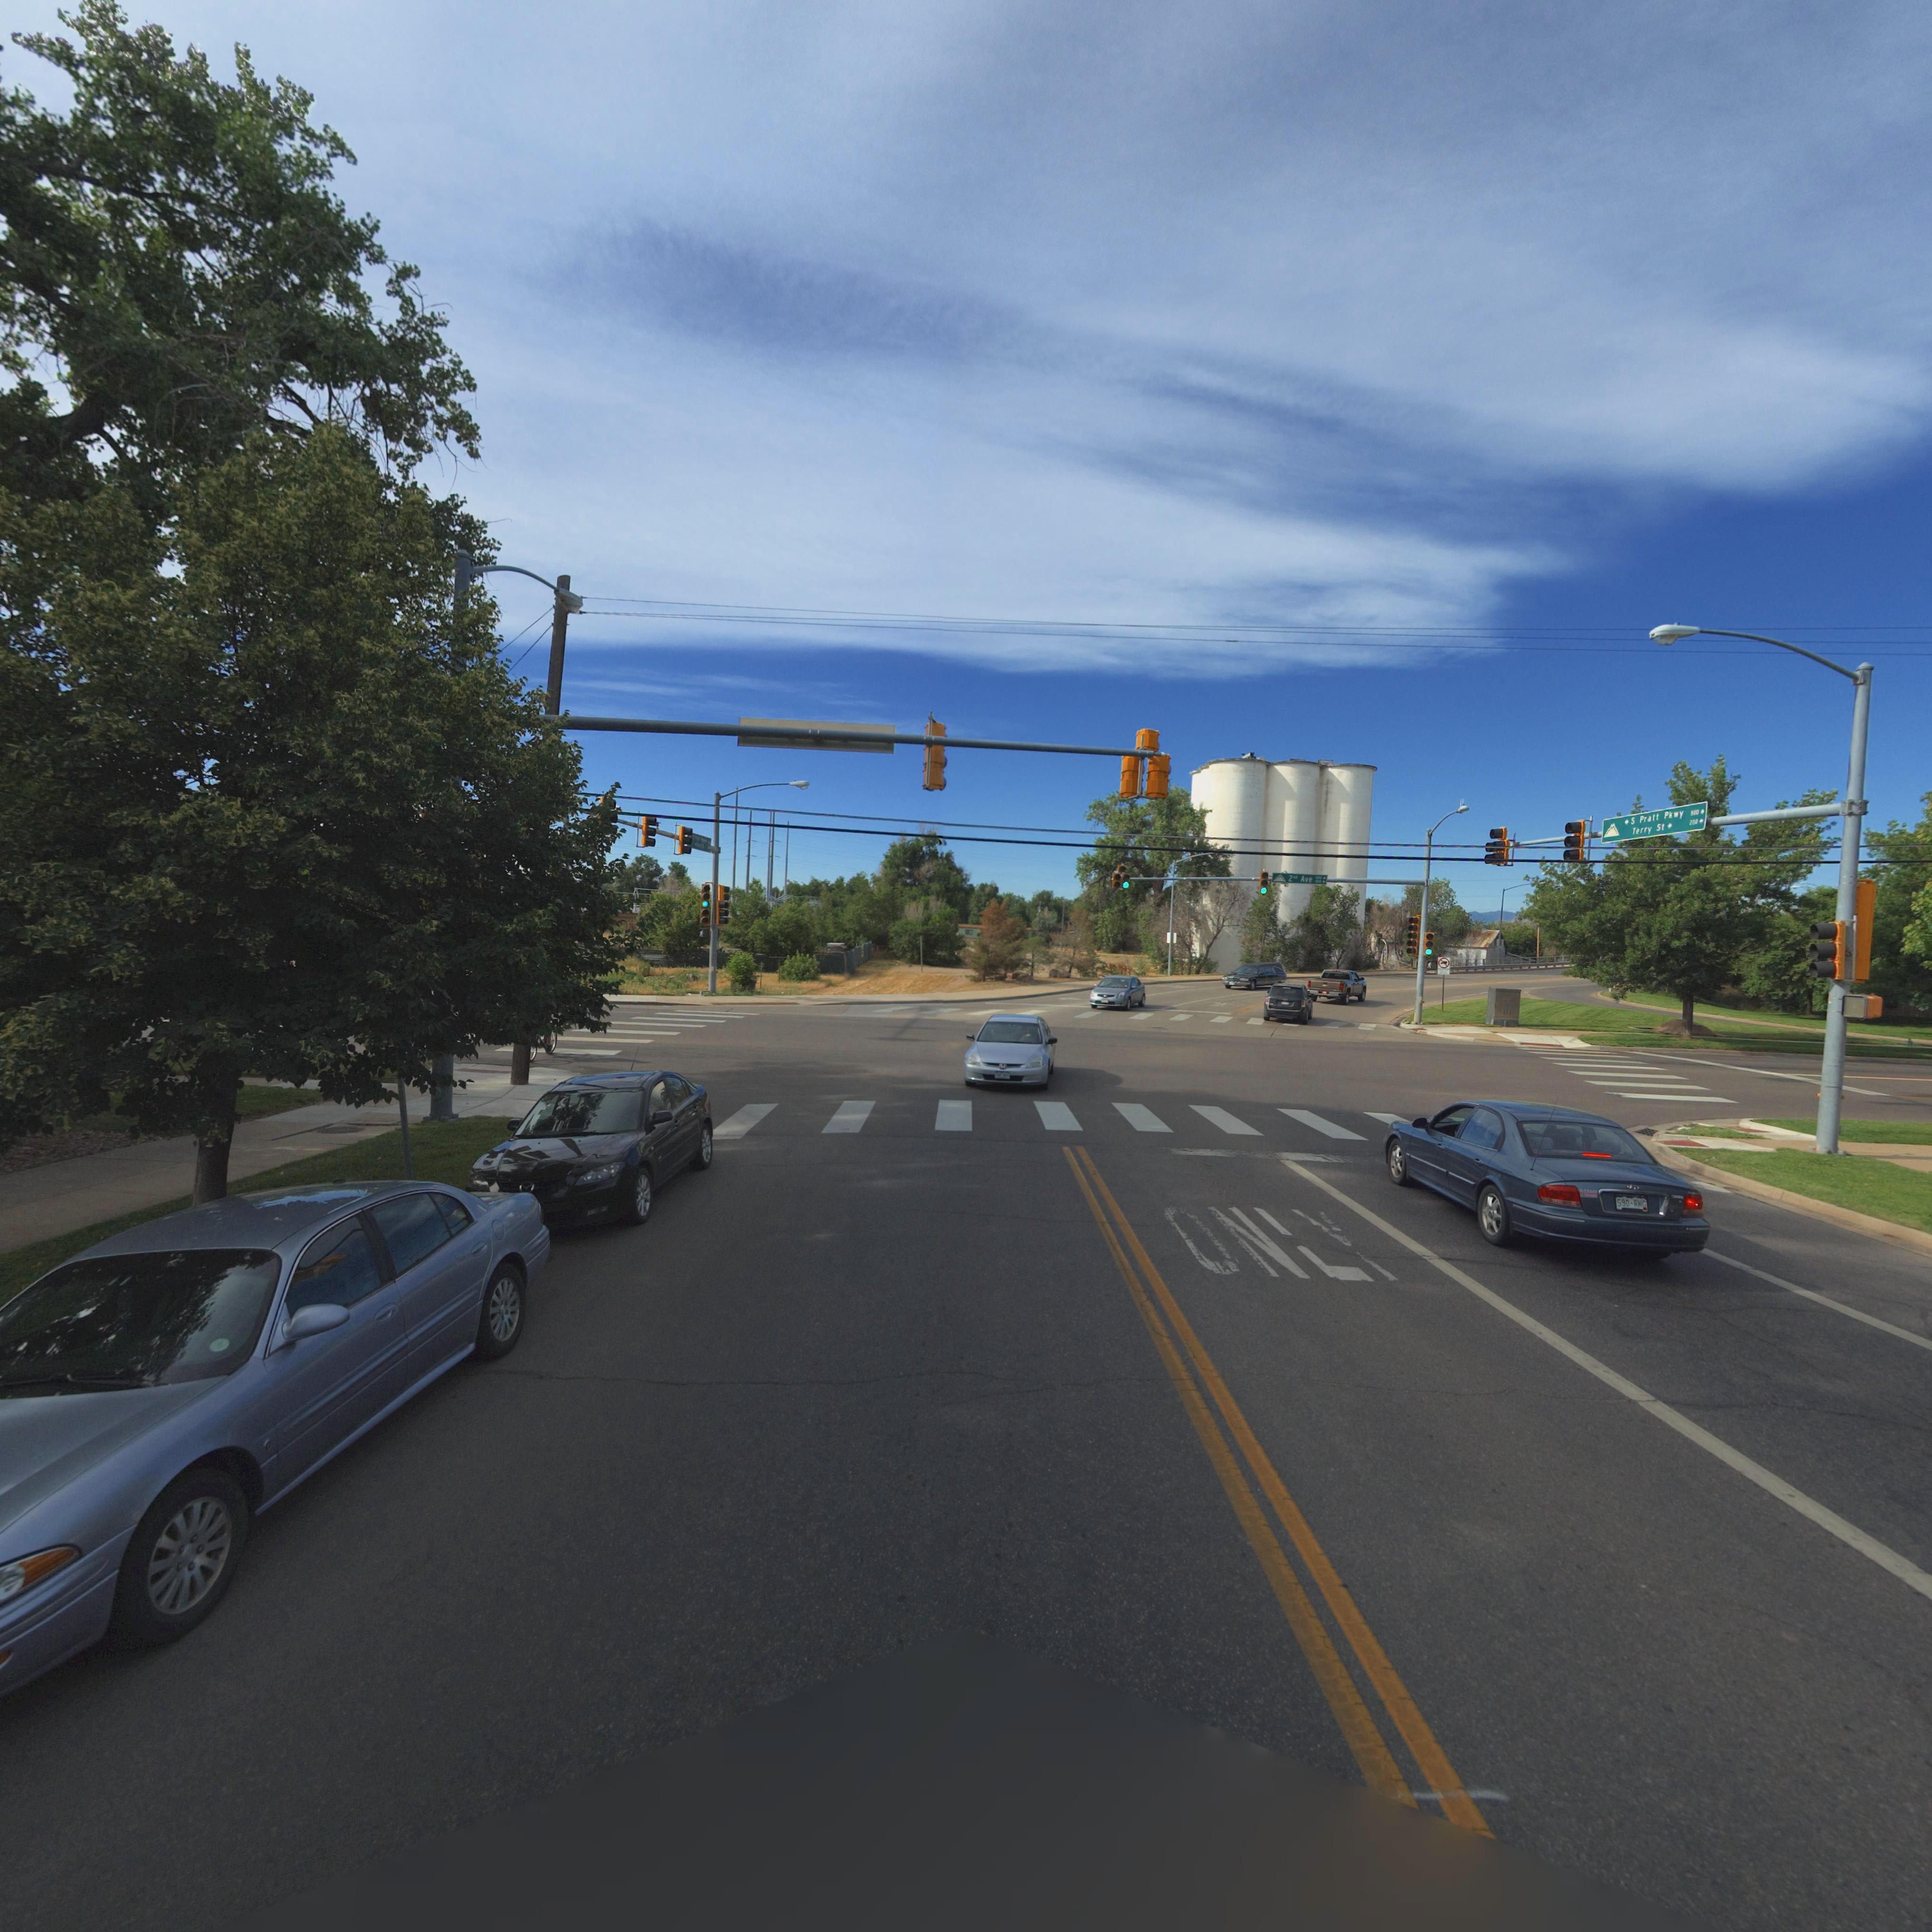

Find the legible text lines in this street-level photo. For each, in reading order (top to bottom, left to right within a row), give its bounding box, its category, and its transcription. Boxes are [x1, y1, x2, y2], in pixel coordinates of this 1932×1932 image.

[1690, 808, 1700, 816] StreetNumberRange: *00
[1630, 810, 1685, 825] StreetName: S Pratt Pkwy
[1689, 817, 1704, 826] StreetNumberRange: 200->
[1632, 823, 1665, 835] StreetName: Terry St
[1287, 874, 1313, 883] StreetName: 2nd Ave
[1315, 876, 1322, 879] StreetNumberRange: *00
[1314, 879, 1325, 883] StreetNumberRange: *00->